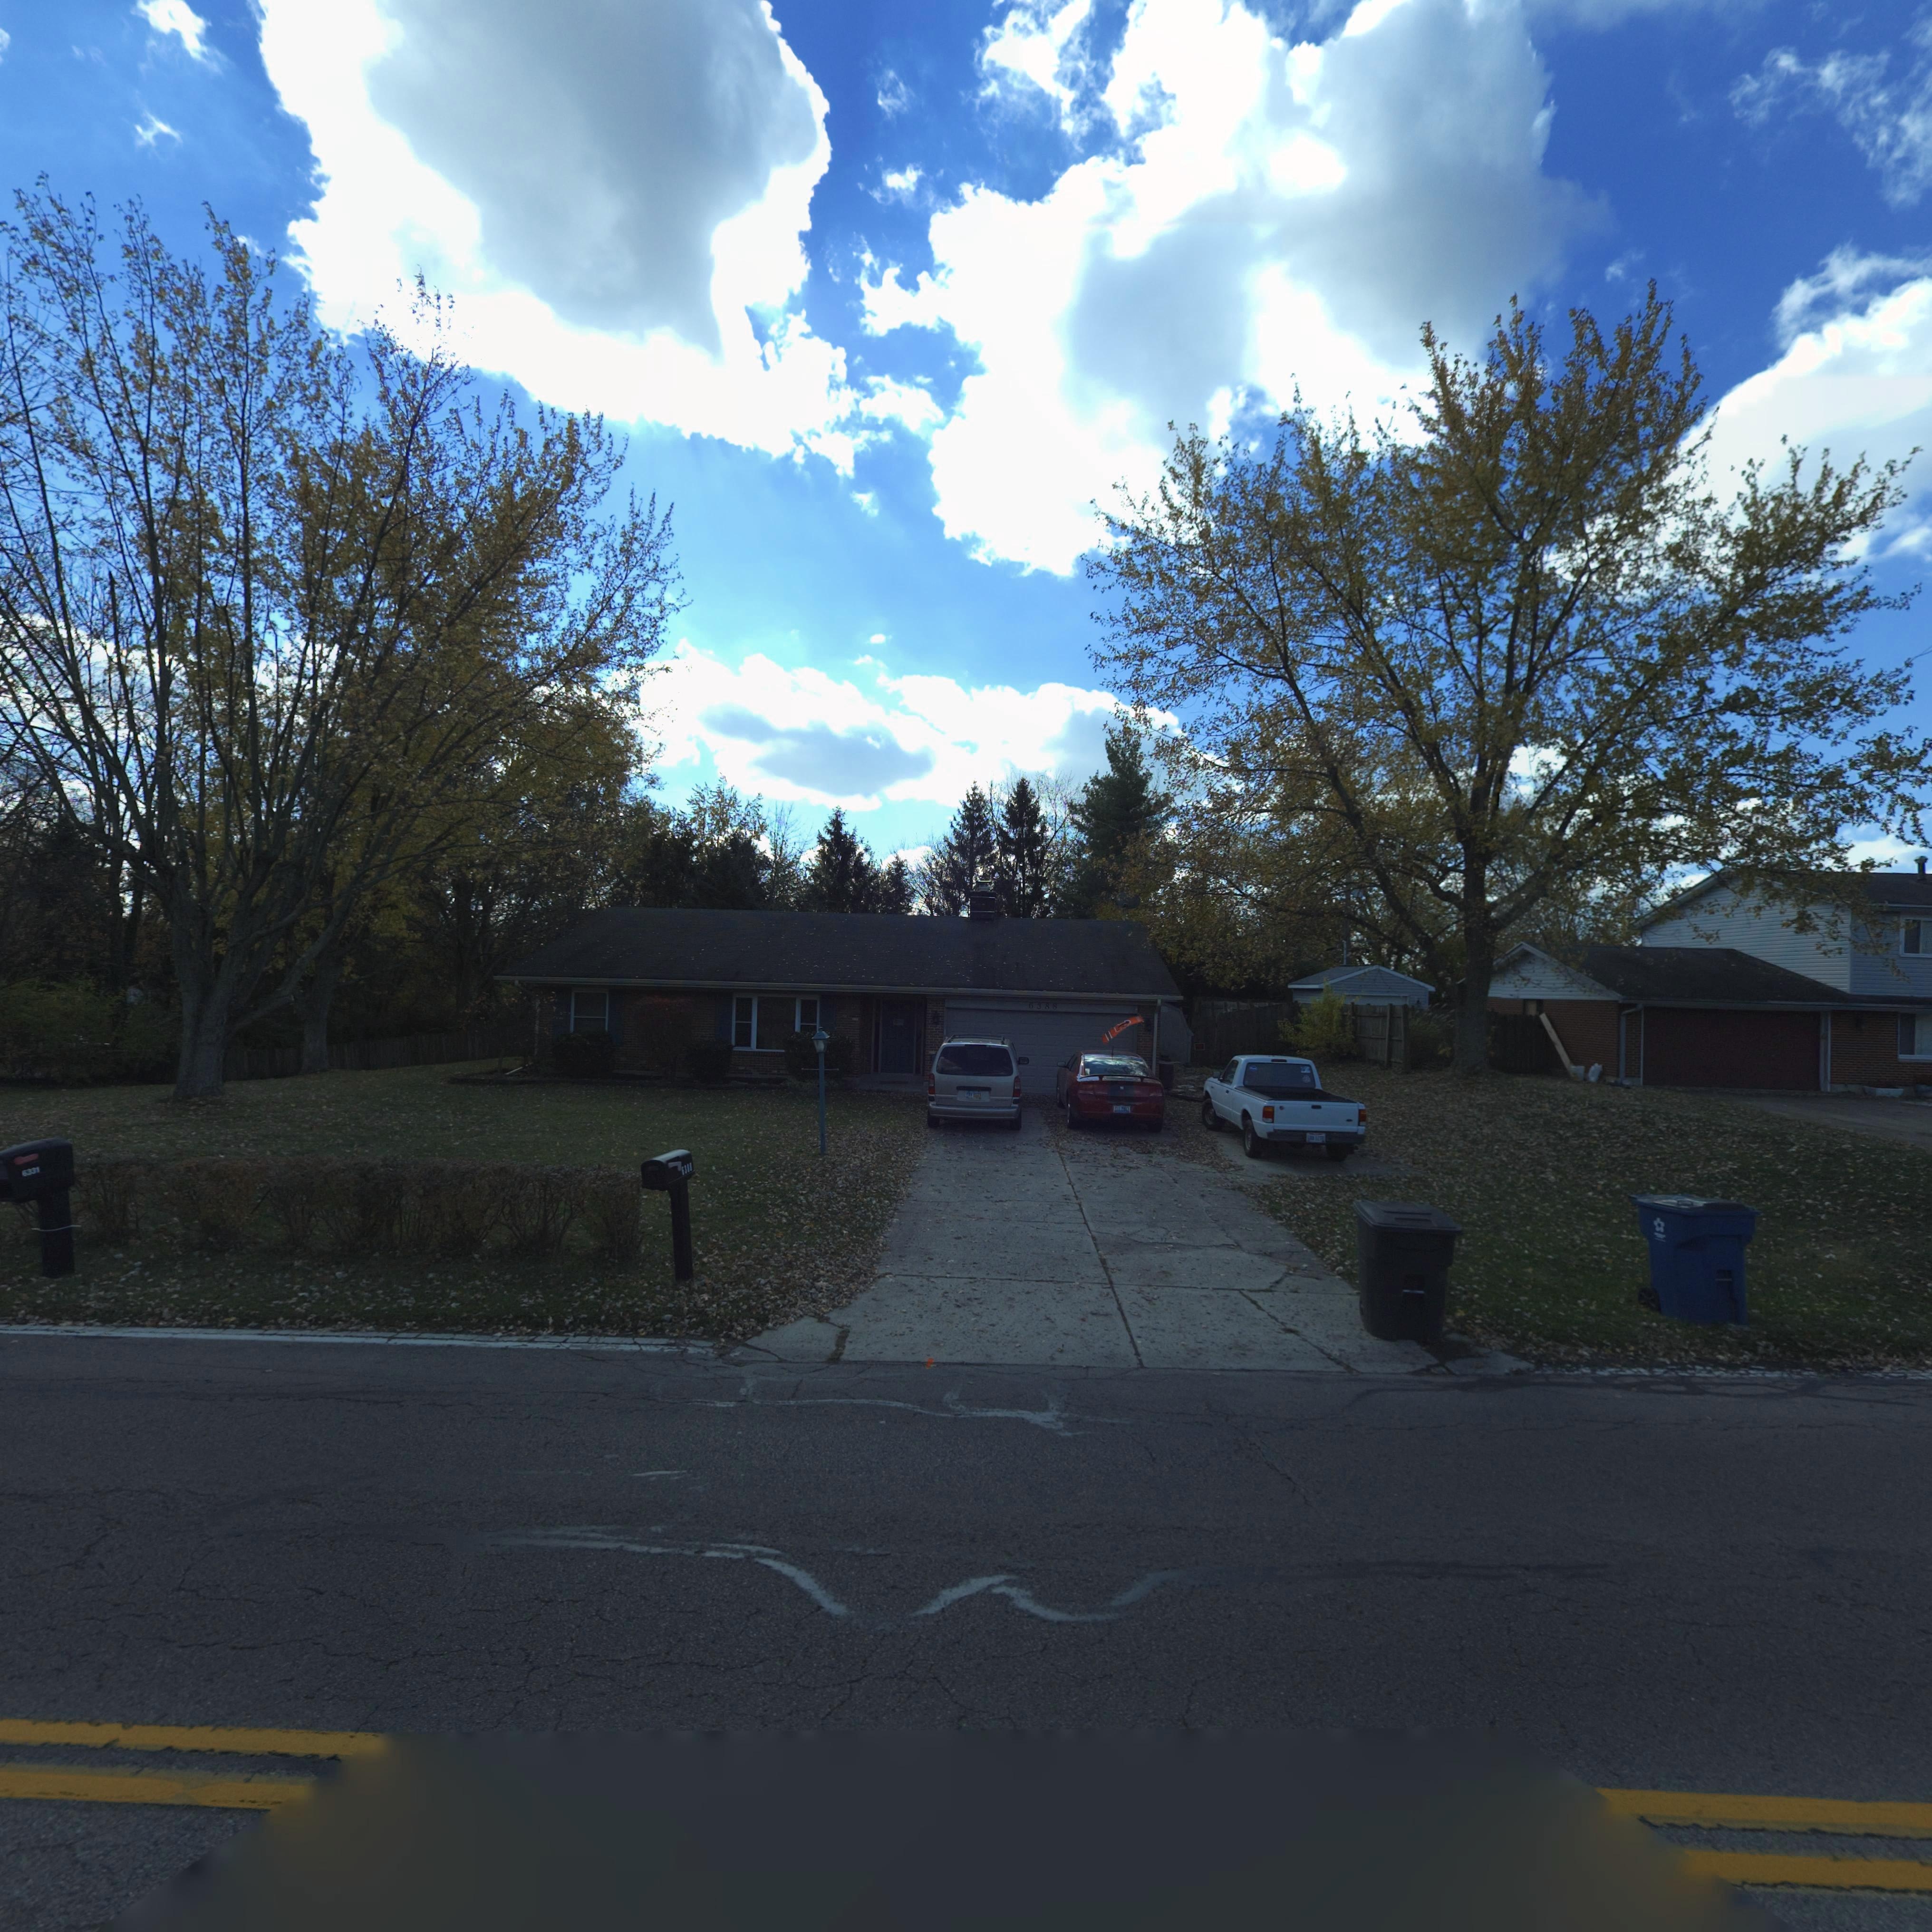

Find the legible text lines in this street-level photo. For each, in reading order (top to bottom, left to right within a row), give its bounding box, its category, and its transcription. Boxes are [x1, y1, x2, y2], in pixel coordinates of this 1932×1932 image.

[1028, 1001, 1058, 1010] StreetNumber: 6388
[21, 1165, 40, 1178] StreetNumber: 6331
[681, 1161, 693, 1176] StreetNumber: 6388